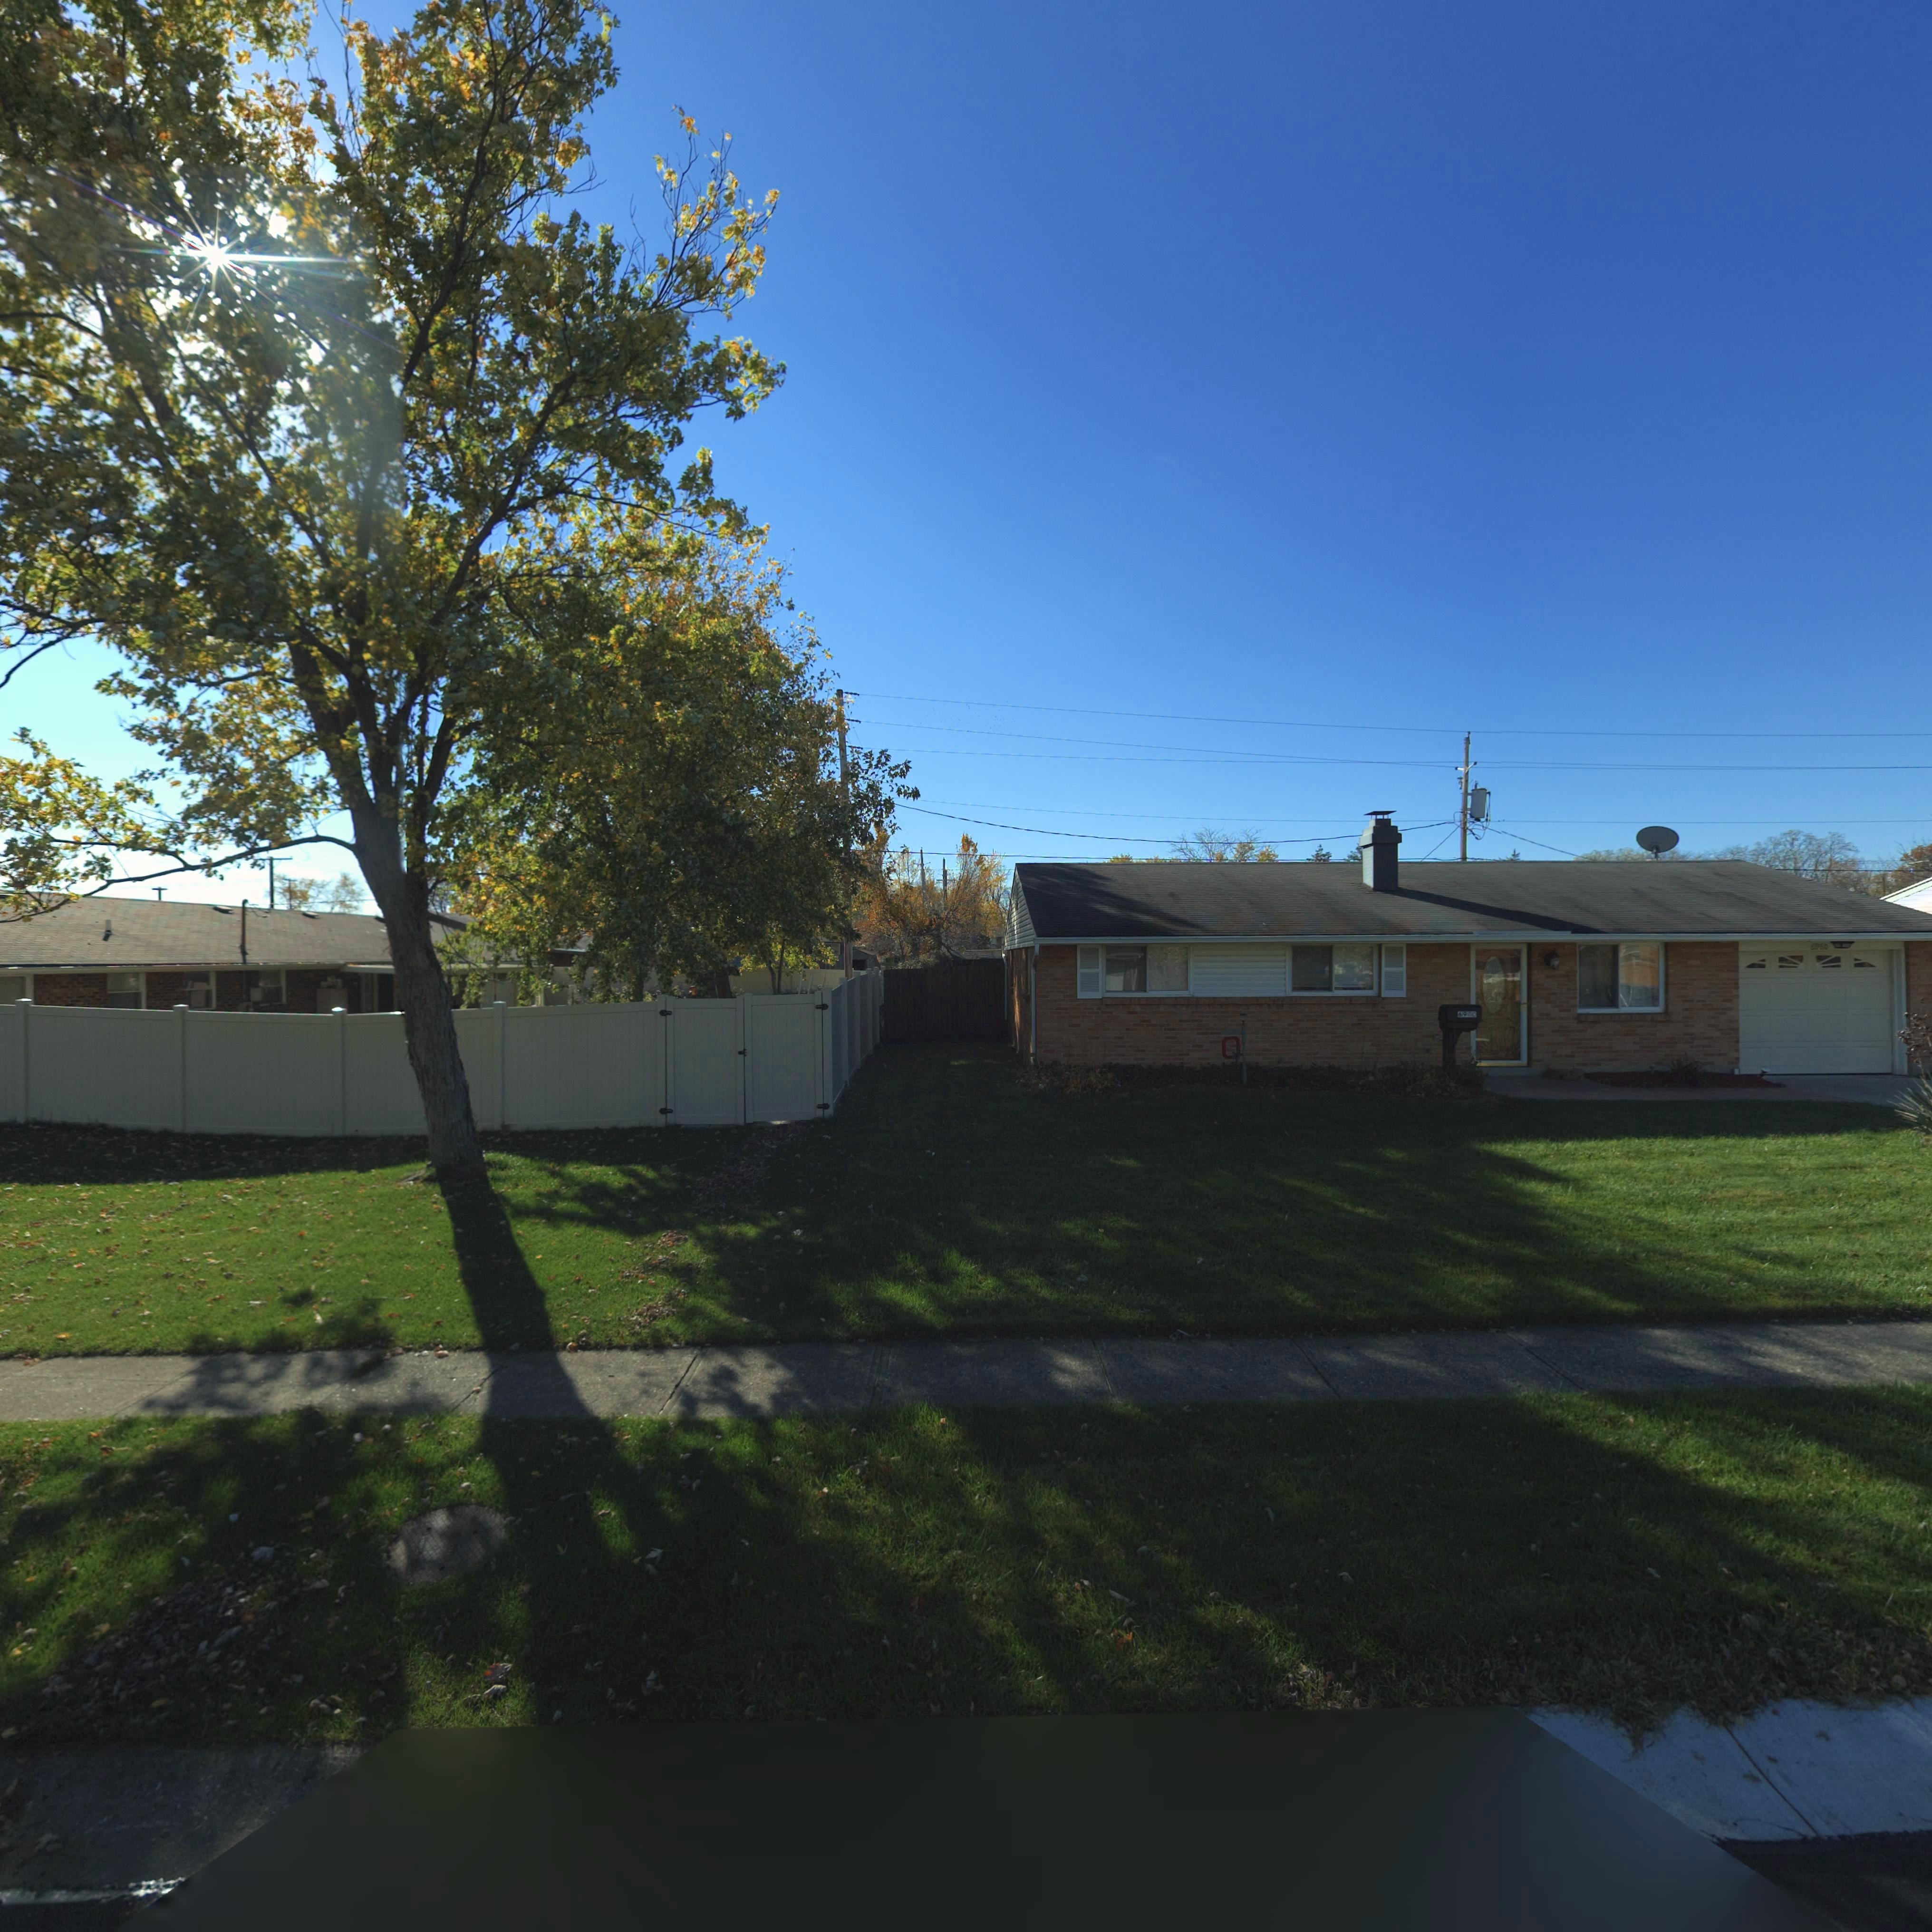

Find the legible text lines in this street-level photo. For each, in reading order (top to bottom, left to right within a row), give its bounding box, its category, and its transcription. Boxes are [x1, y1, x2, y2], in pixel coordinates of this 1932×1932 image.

[1808, 943, 1829, 950] StreetNumber: 6980
[1458, 1011, 1477, 1017] StreetNumber: 6980